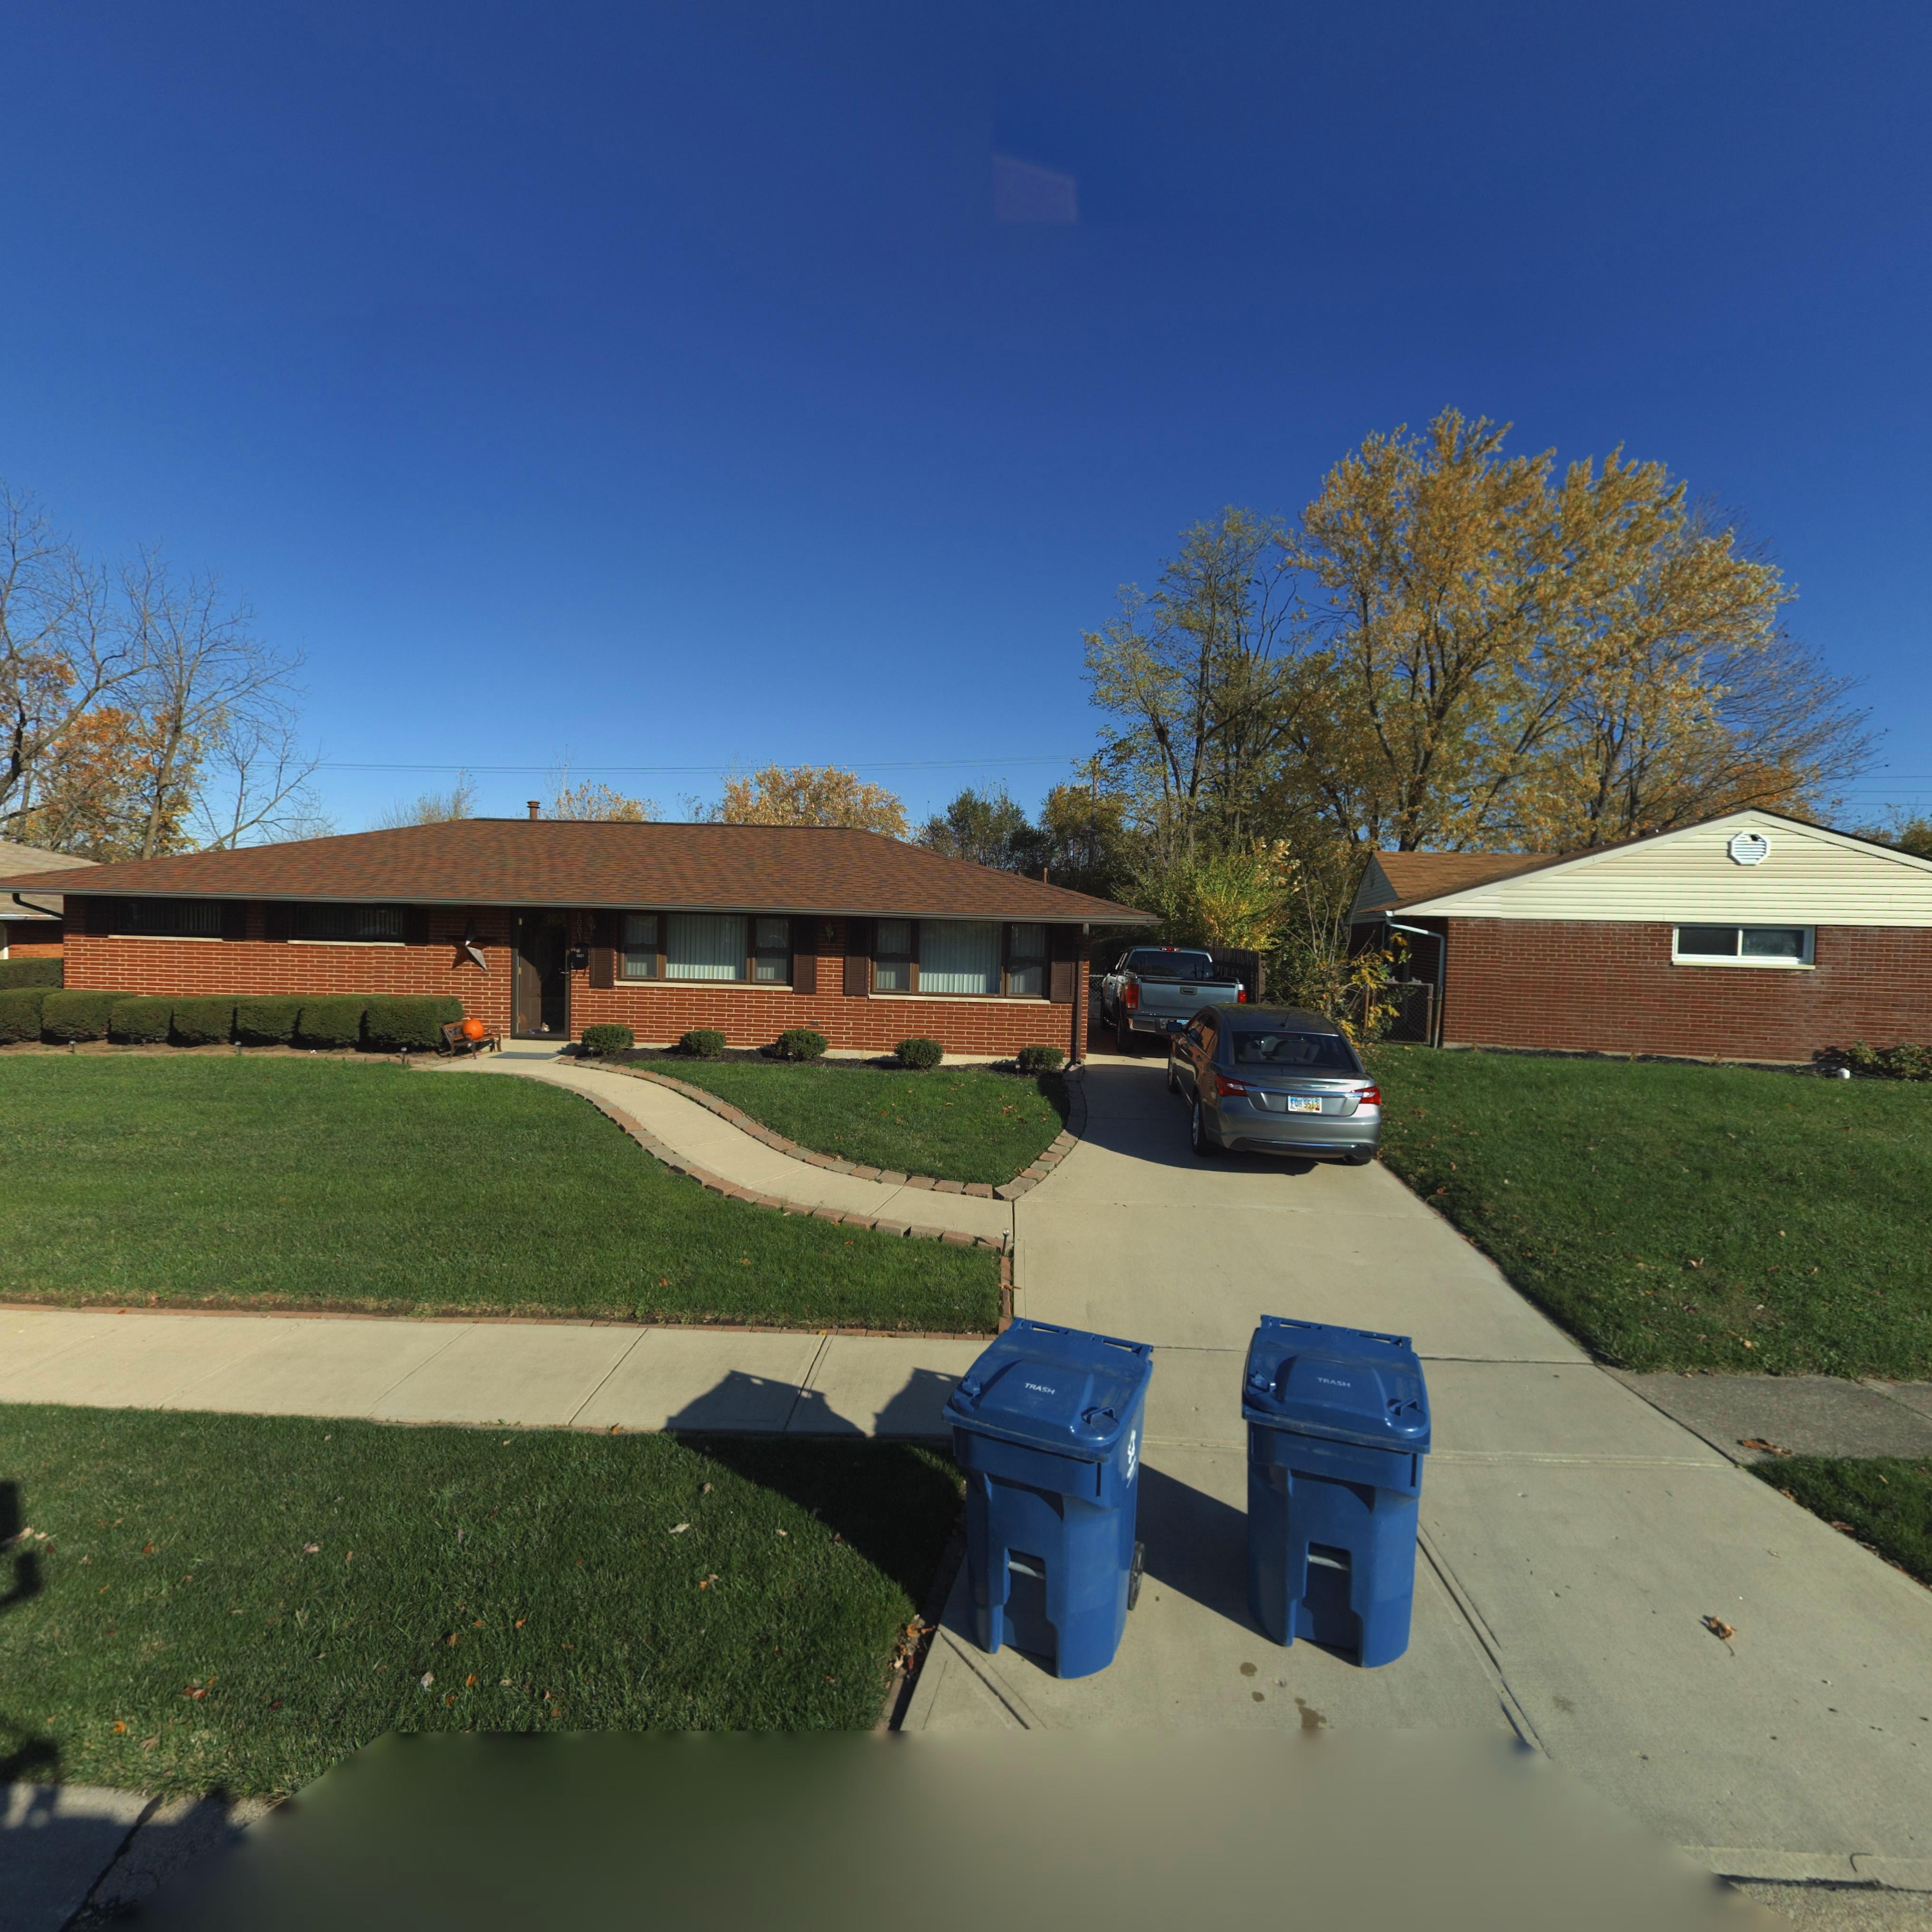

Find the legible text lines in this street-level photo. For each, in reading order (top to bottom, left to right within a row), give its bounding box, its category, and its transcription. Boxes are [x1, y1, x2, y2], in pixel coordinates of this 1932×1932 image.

[576, 910, 583, 943] StreetNumber: 8001